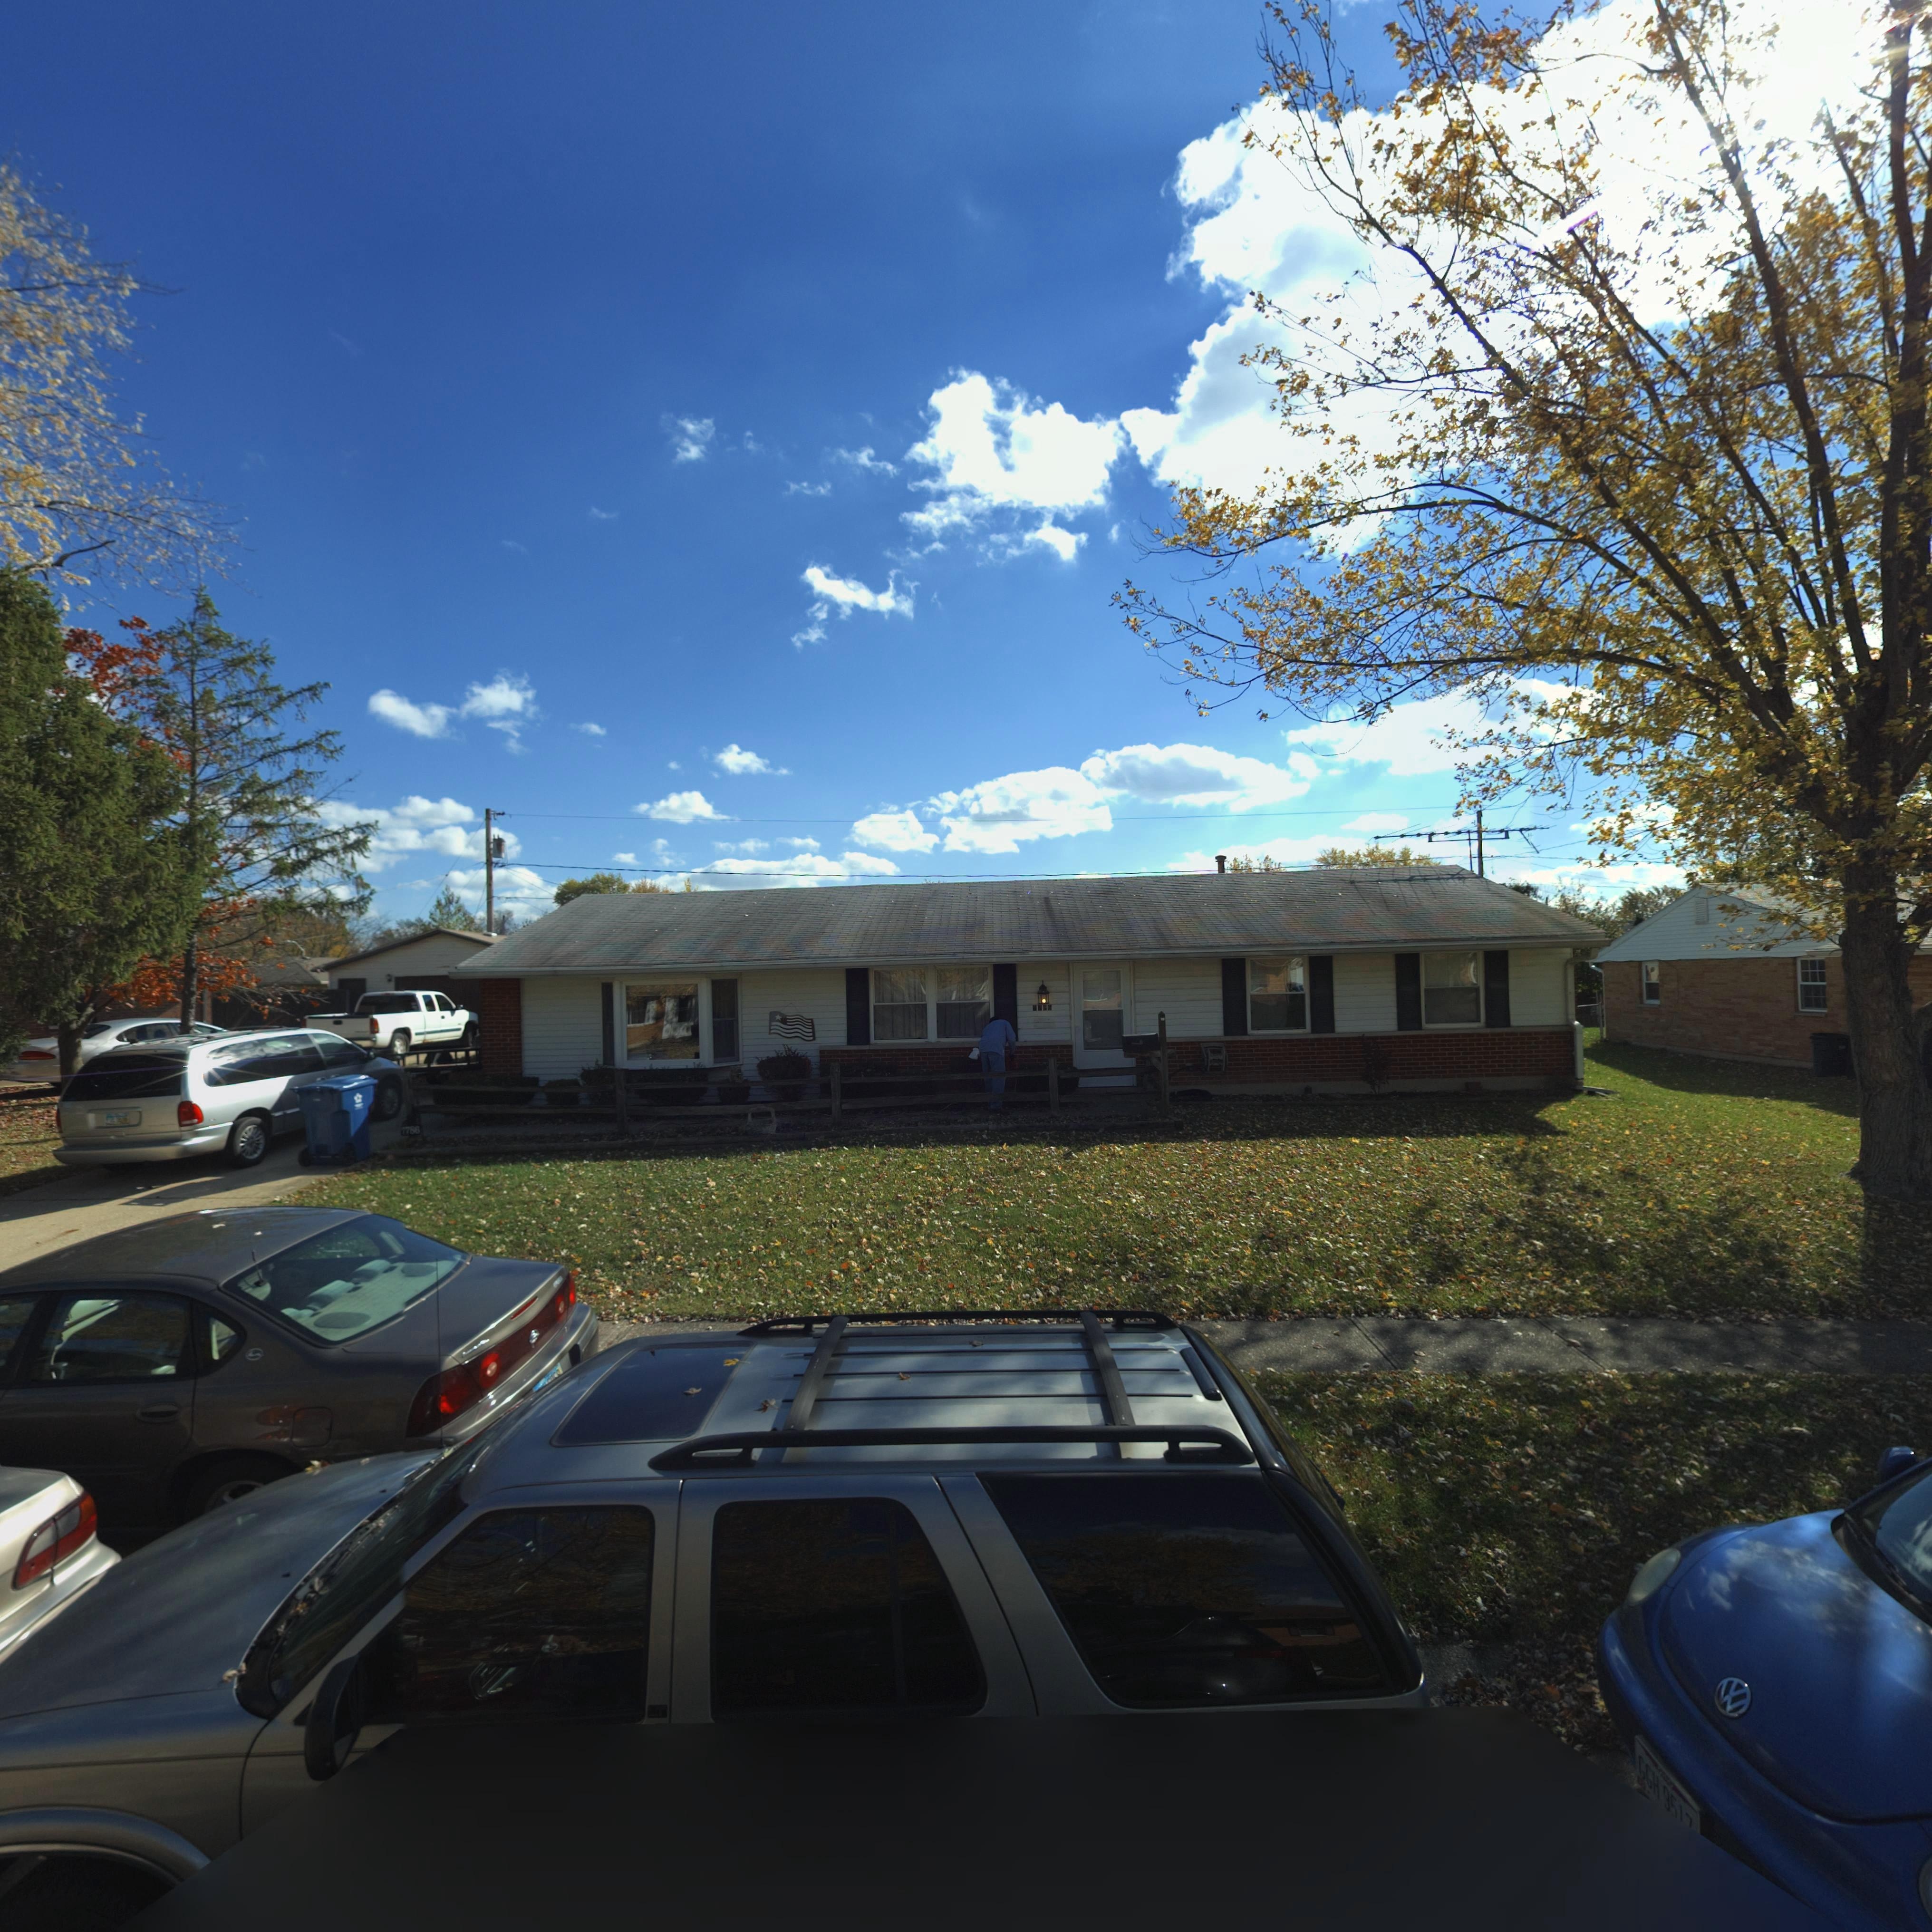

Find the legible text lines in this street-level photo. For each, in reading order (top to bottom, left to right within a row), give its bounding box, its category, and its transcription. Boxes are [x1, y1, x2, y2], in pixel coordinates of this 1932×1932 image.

[1033, 1005, 1052, 1011] StreetNumber: 7786
[400, 1125, 420, 1136] StreetNumber: 7786